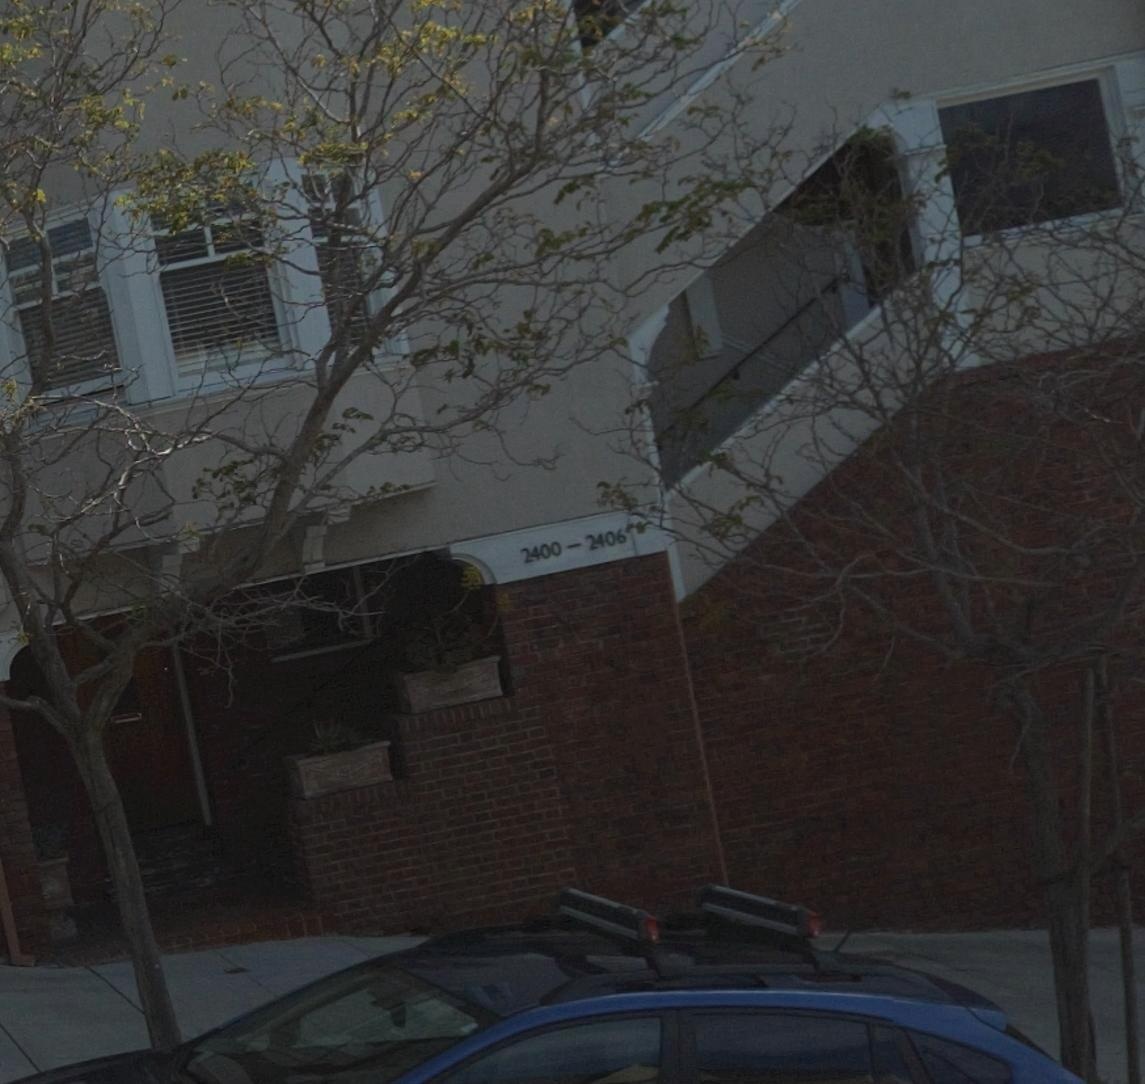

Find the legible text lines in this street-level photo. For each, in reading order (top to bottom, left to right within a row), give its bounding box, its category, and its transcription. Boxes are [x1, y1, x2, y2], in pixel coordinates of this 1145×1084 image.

[518, 538, 565, 567] StreetNumber: 2400
[581, 525, 630, 554] StreetNumber: 2406